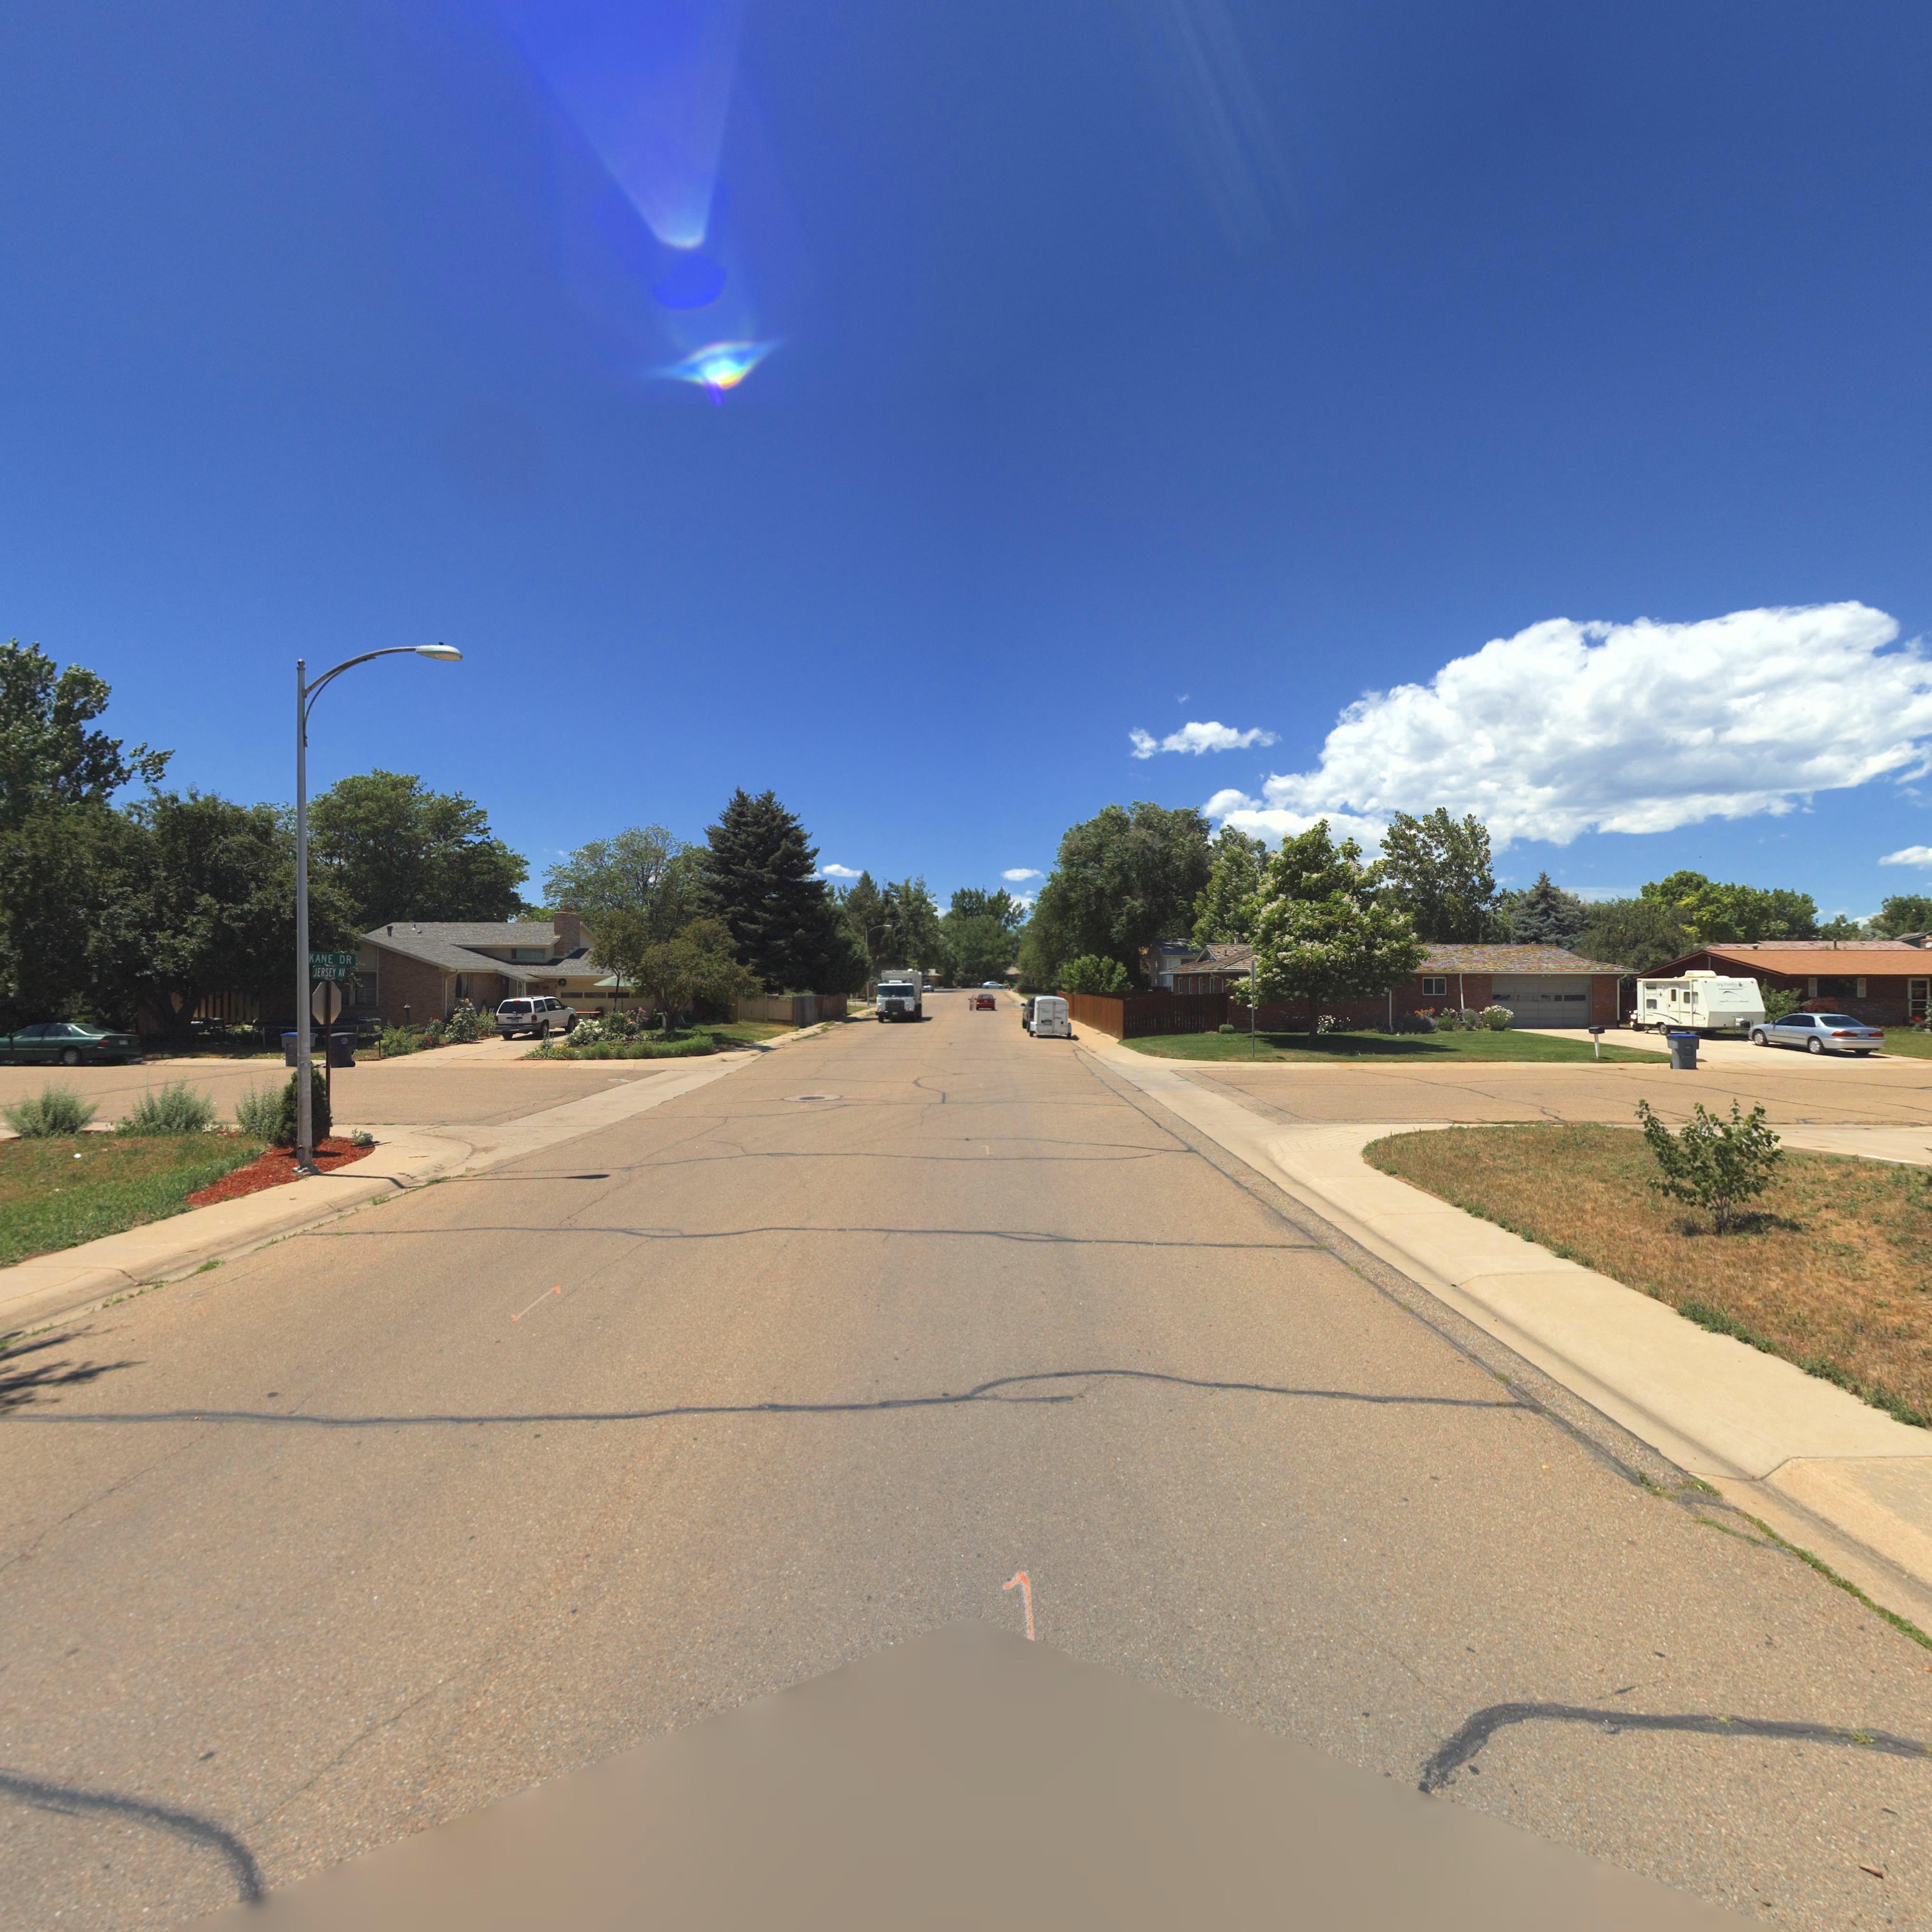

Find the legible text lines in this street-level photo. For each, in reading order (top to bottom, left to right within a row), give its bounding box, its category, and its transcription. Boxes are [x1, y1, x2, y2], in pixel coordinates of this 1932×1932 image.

[309, 953, 352, 964] StreetName: KANE DR
[313, 967, 346, 977] StreetName: JERSEY AV